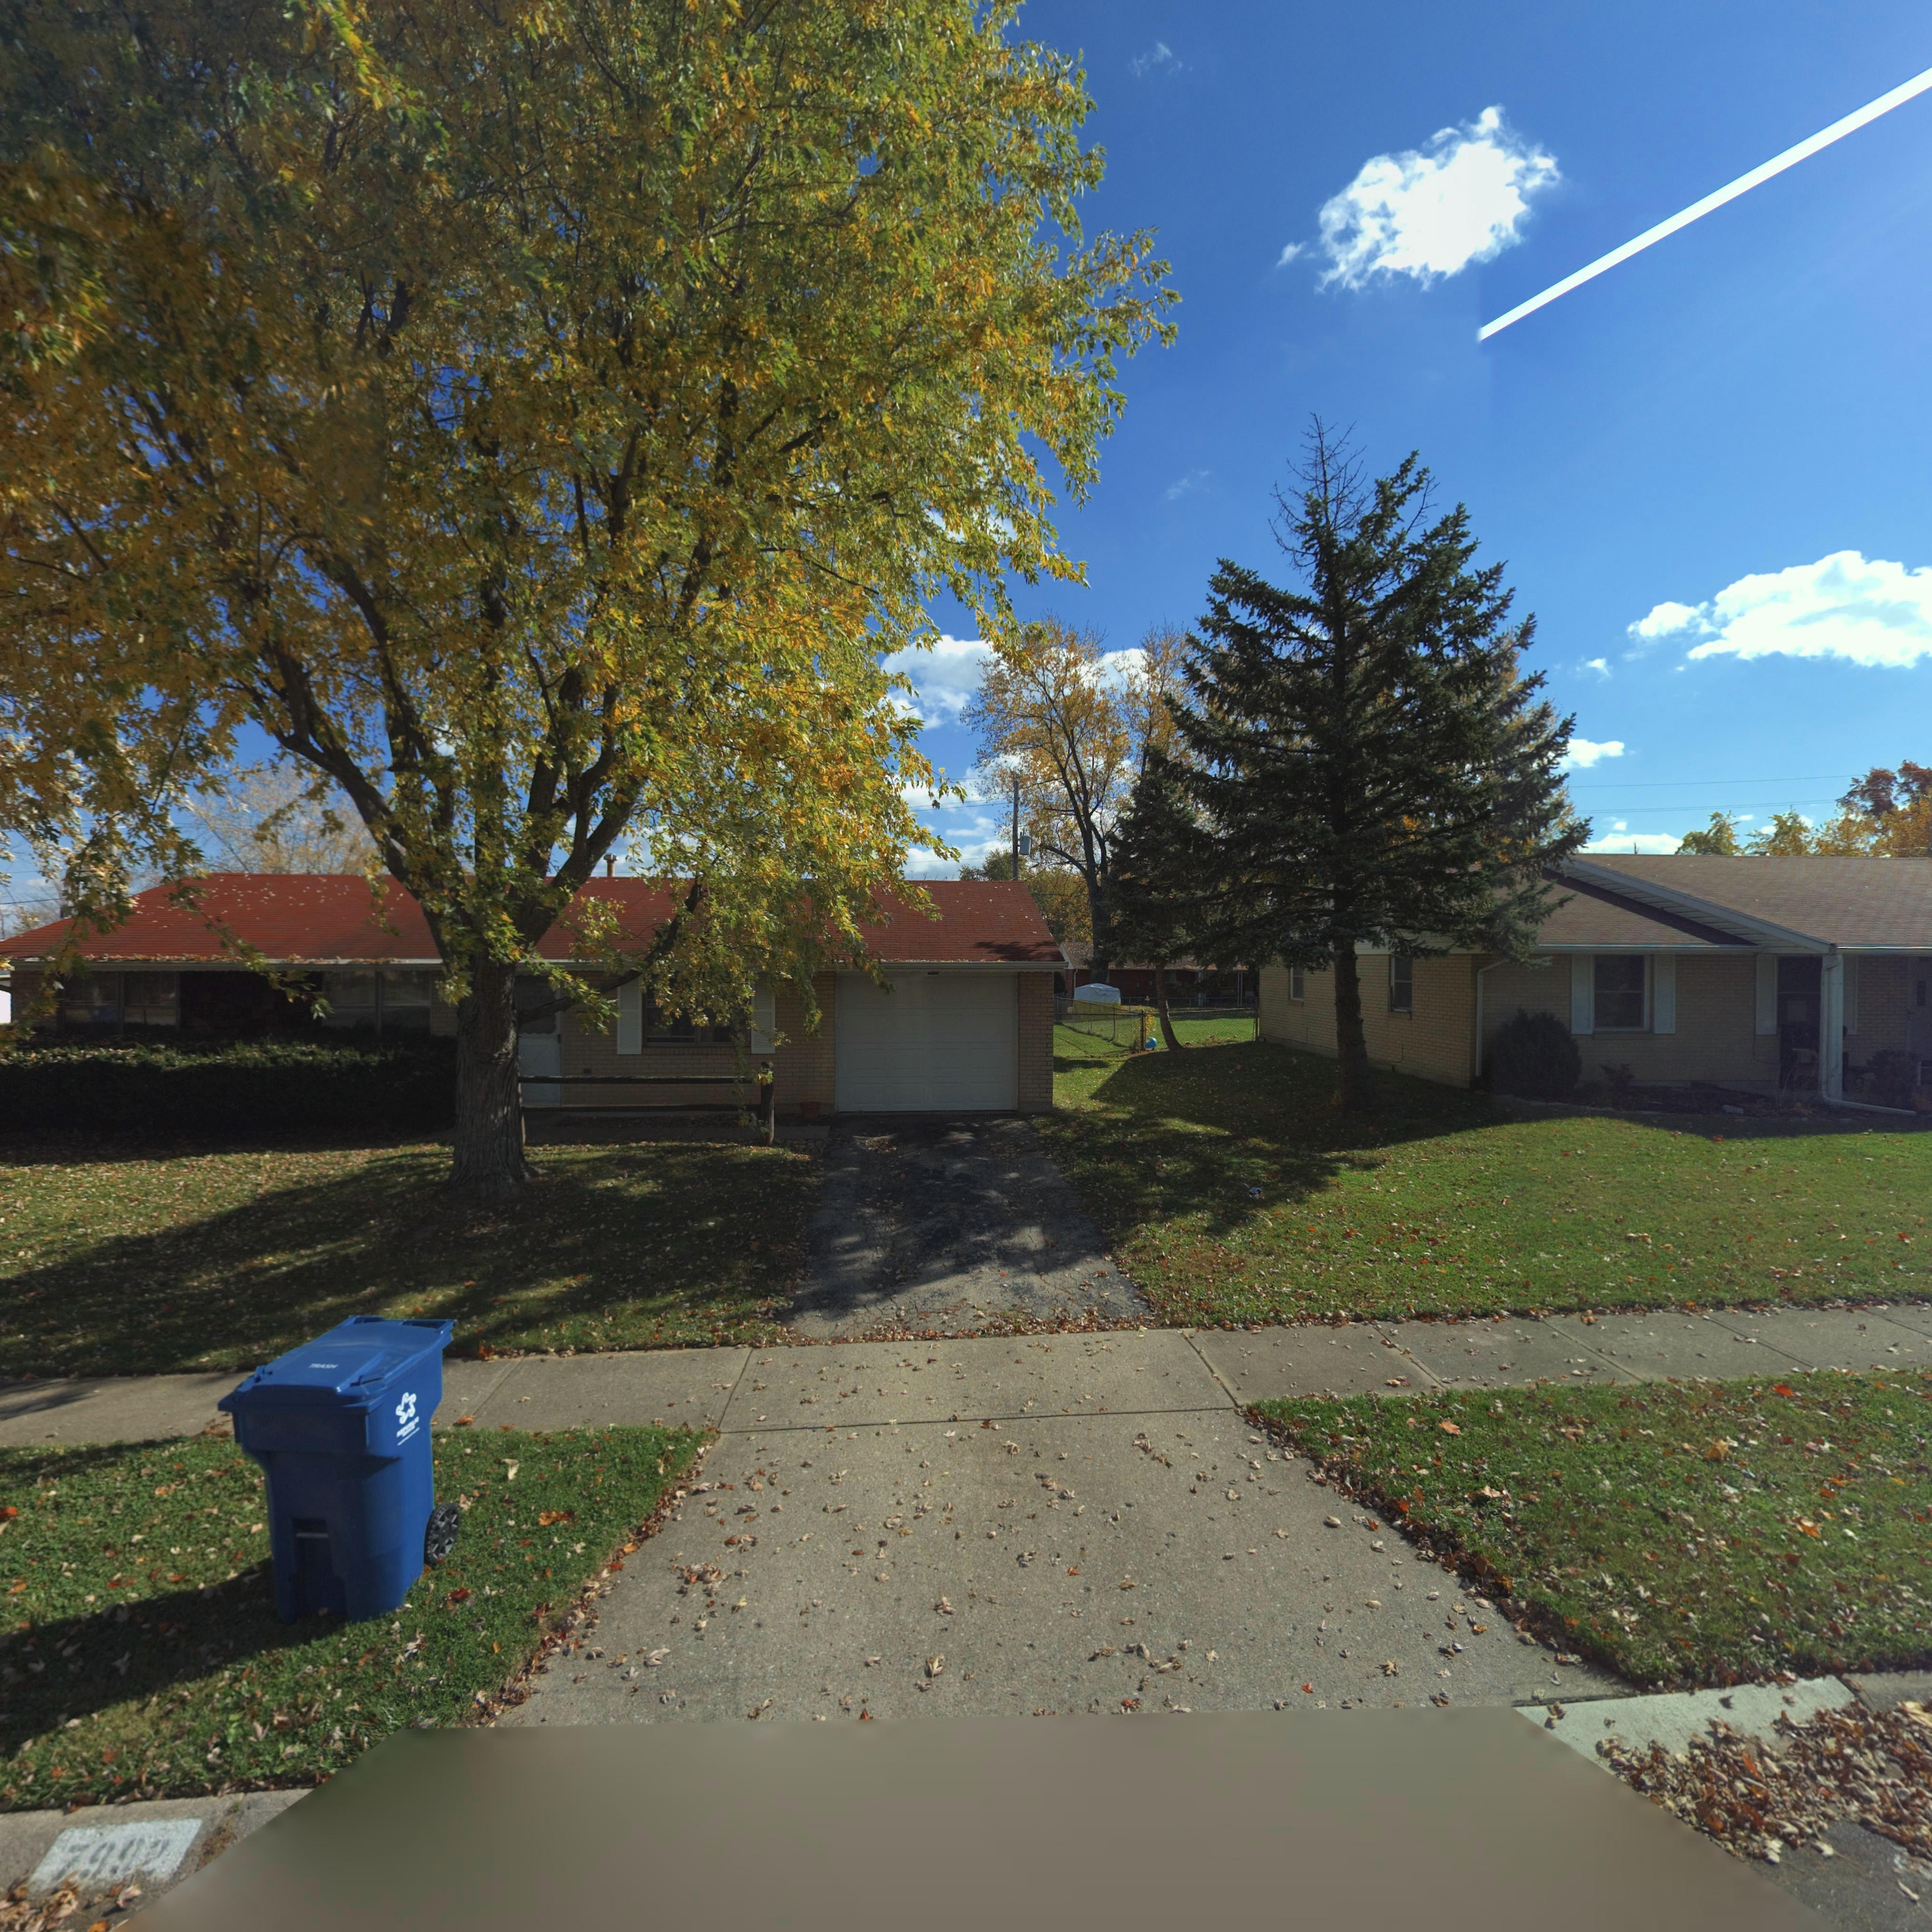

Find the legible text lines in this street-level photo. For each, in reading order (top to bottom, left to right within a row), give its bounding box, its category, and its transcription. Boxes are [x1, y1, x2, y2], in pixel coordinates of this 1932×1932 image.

[43, 1833, 174, 1884] StreetNumber: 79**